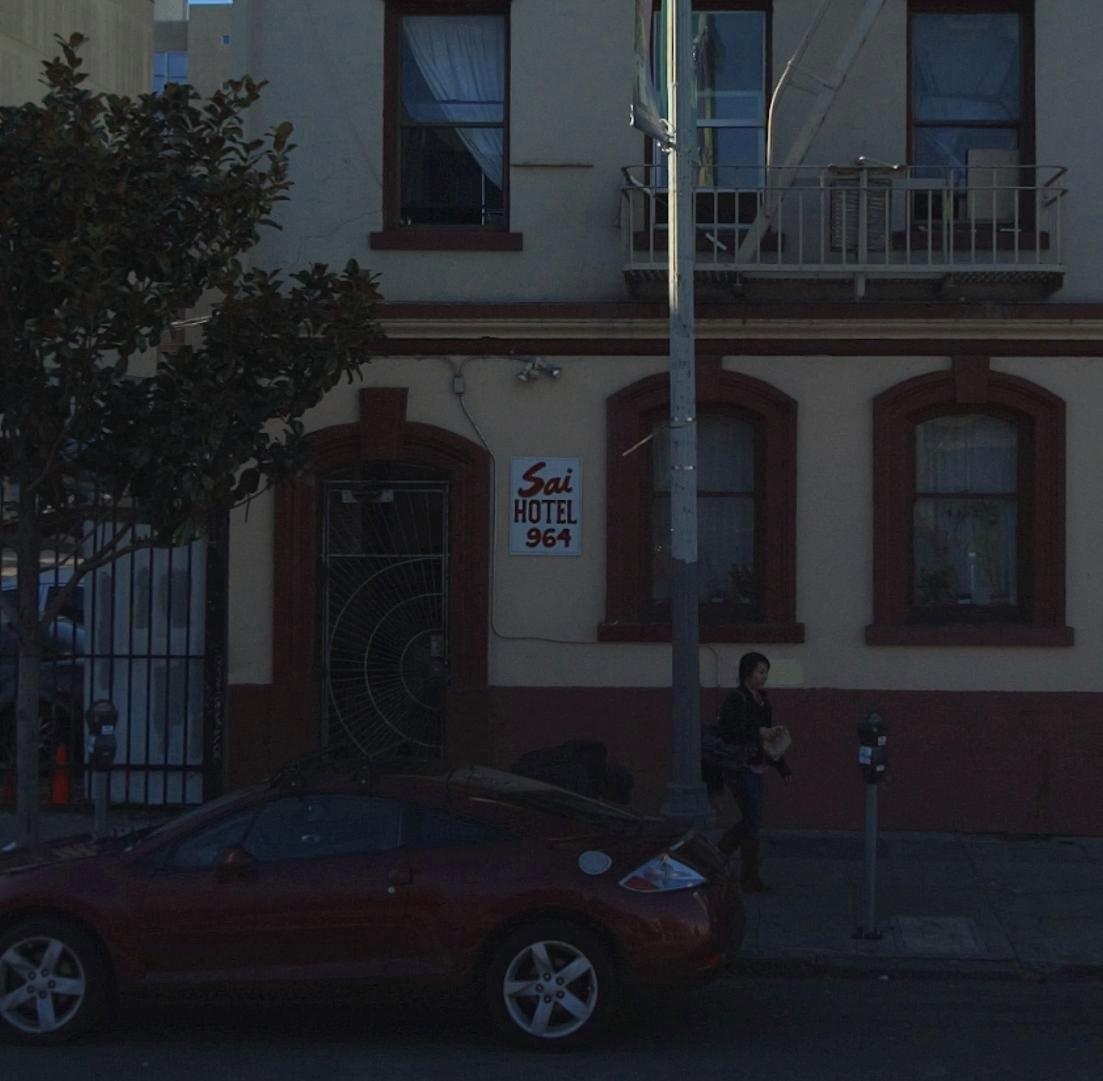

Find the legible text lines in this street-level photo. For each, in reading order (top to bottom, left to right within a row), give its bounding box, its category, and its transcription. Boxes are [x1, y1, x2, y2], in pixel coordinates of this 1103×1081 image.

[515, 460, 574, 499] BusinessName: Sai
[513, 498, 579, 525] BusinessName: HOTEL
[525, 526, 572, 549] StreetNumber: 964